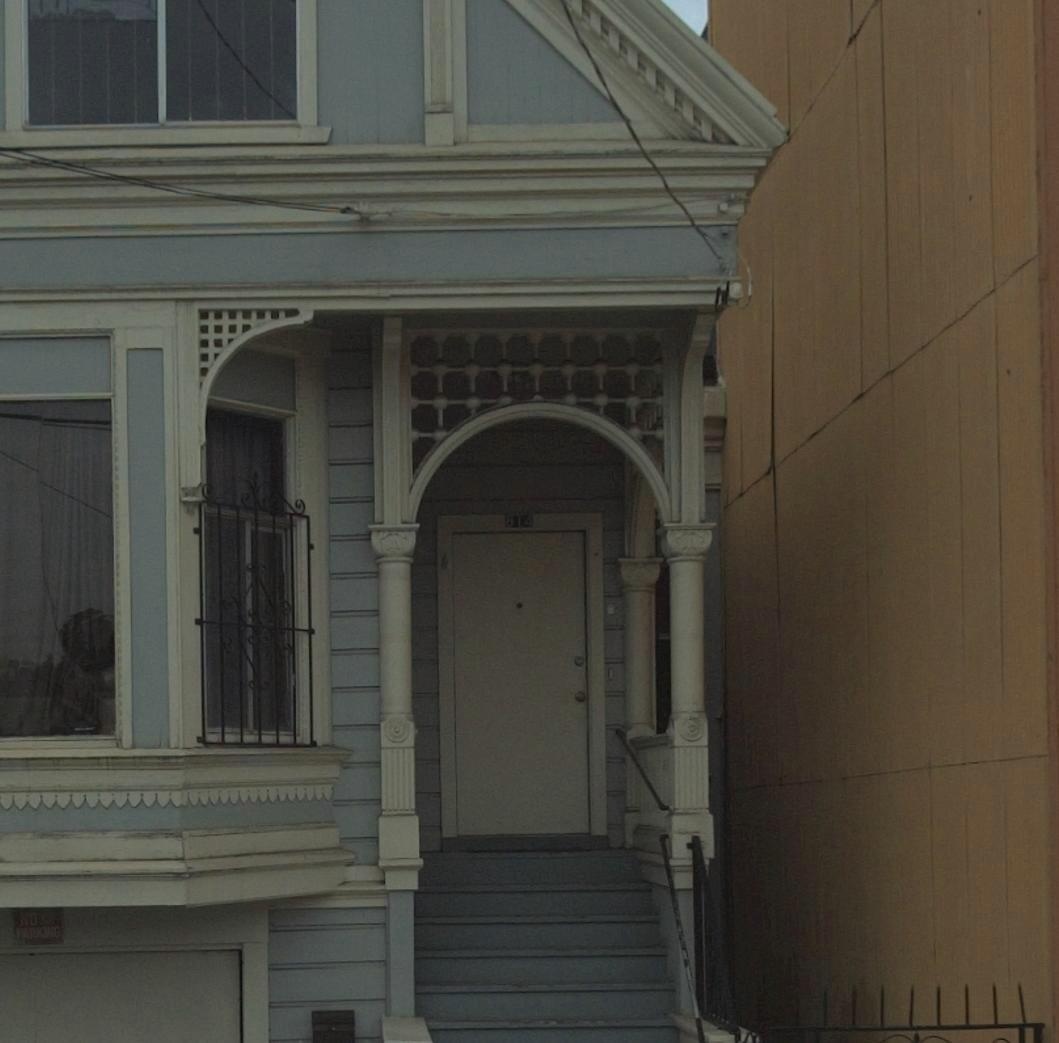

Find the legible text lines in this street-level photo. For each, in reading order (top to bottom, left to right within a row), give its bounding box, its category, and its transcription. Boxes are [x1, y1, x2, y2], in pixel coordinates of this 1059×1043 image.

[504, 514, 534, 529] StreetNumber: 814
[19, 911, 38, 927] None: NO
[14, 925, 62, 939] None: PARKING